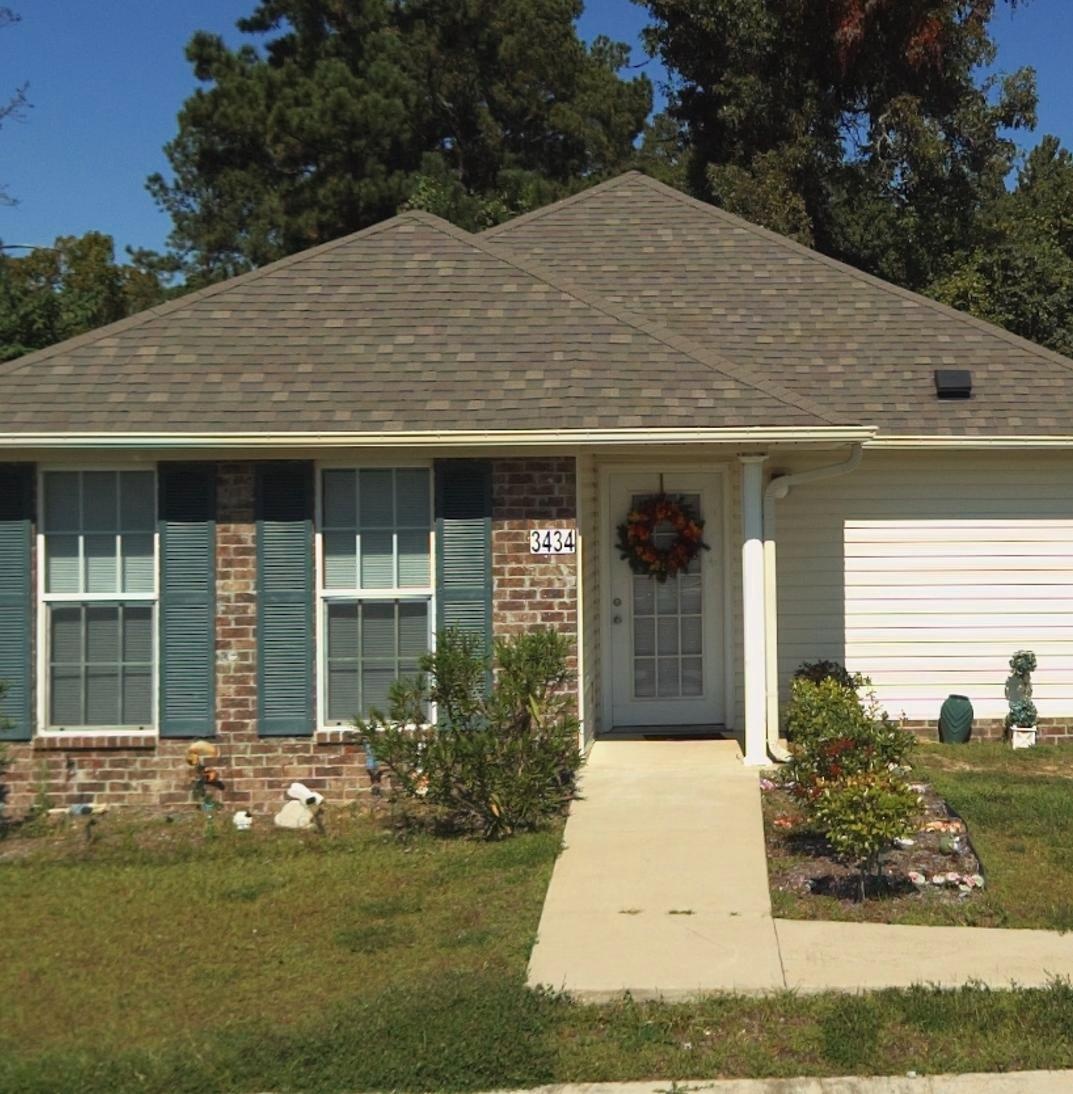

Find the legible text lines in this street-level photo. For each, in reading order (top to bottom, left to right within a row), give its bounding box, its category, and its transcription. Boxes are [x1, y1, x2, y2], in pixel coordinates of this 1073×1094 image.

[531, 529, 575, 553] StreetNumber: 3434